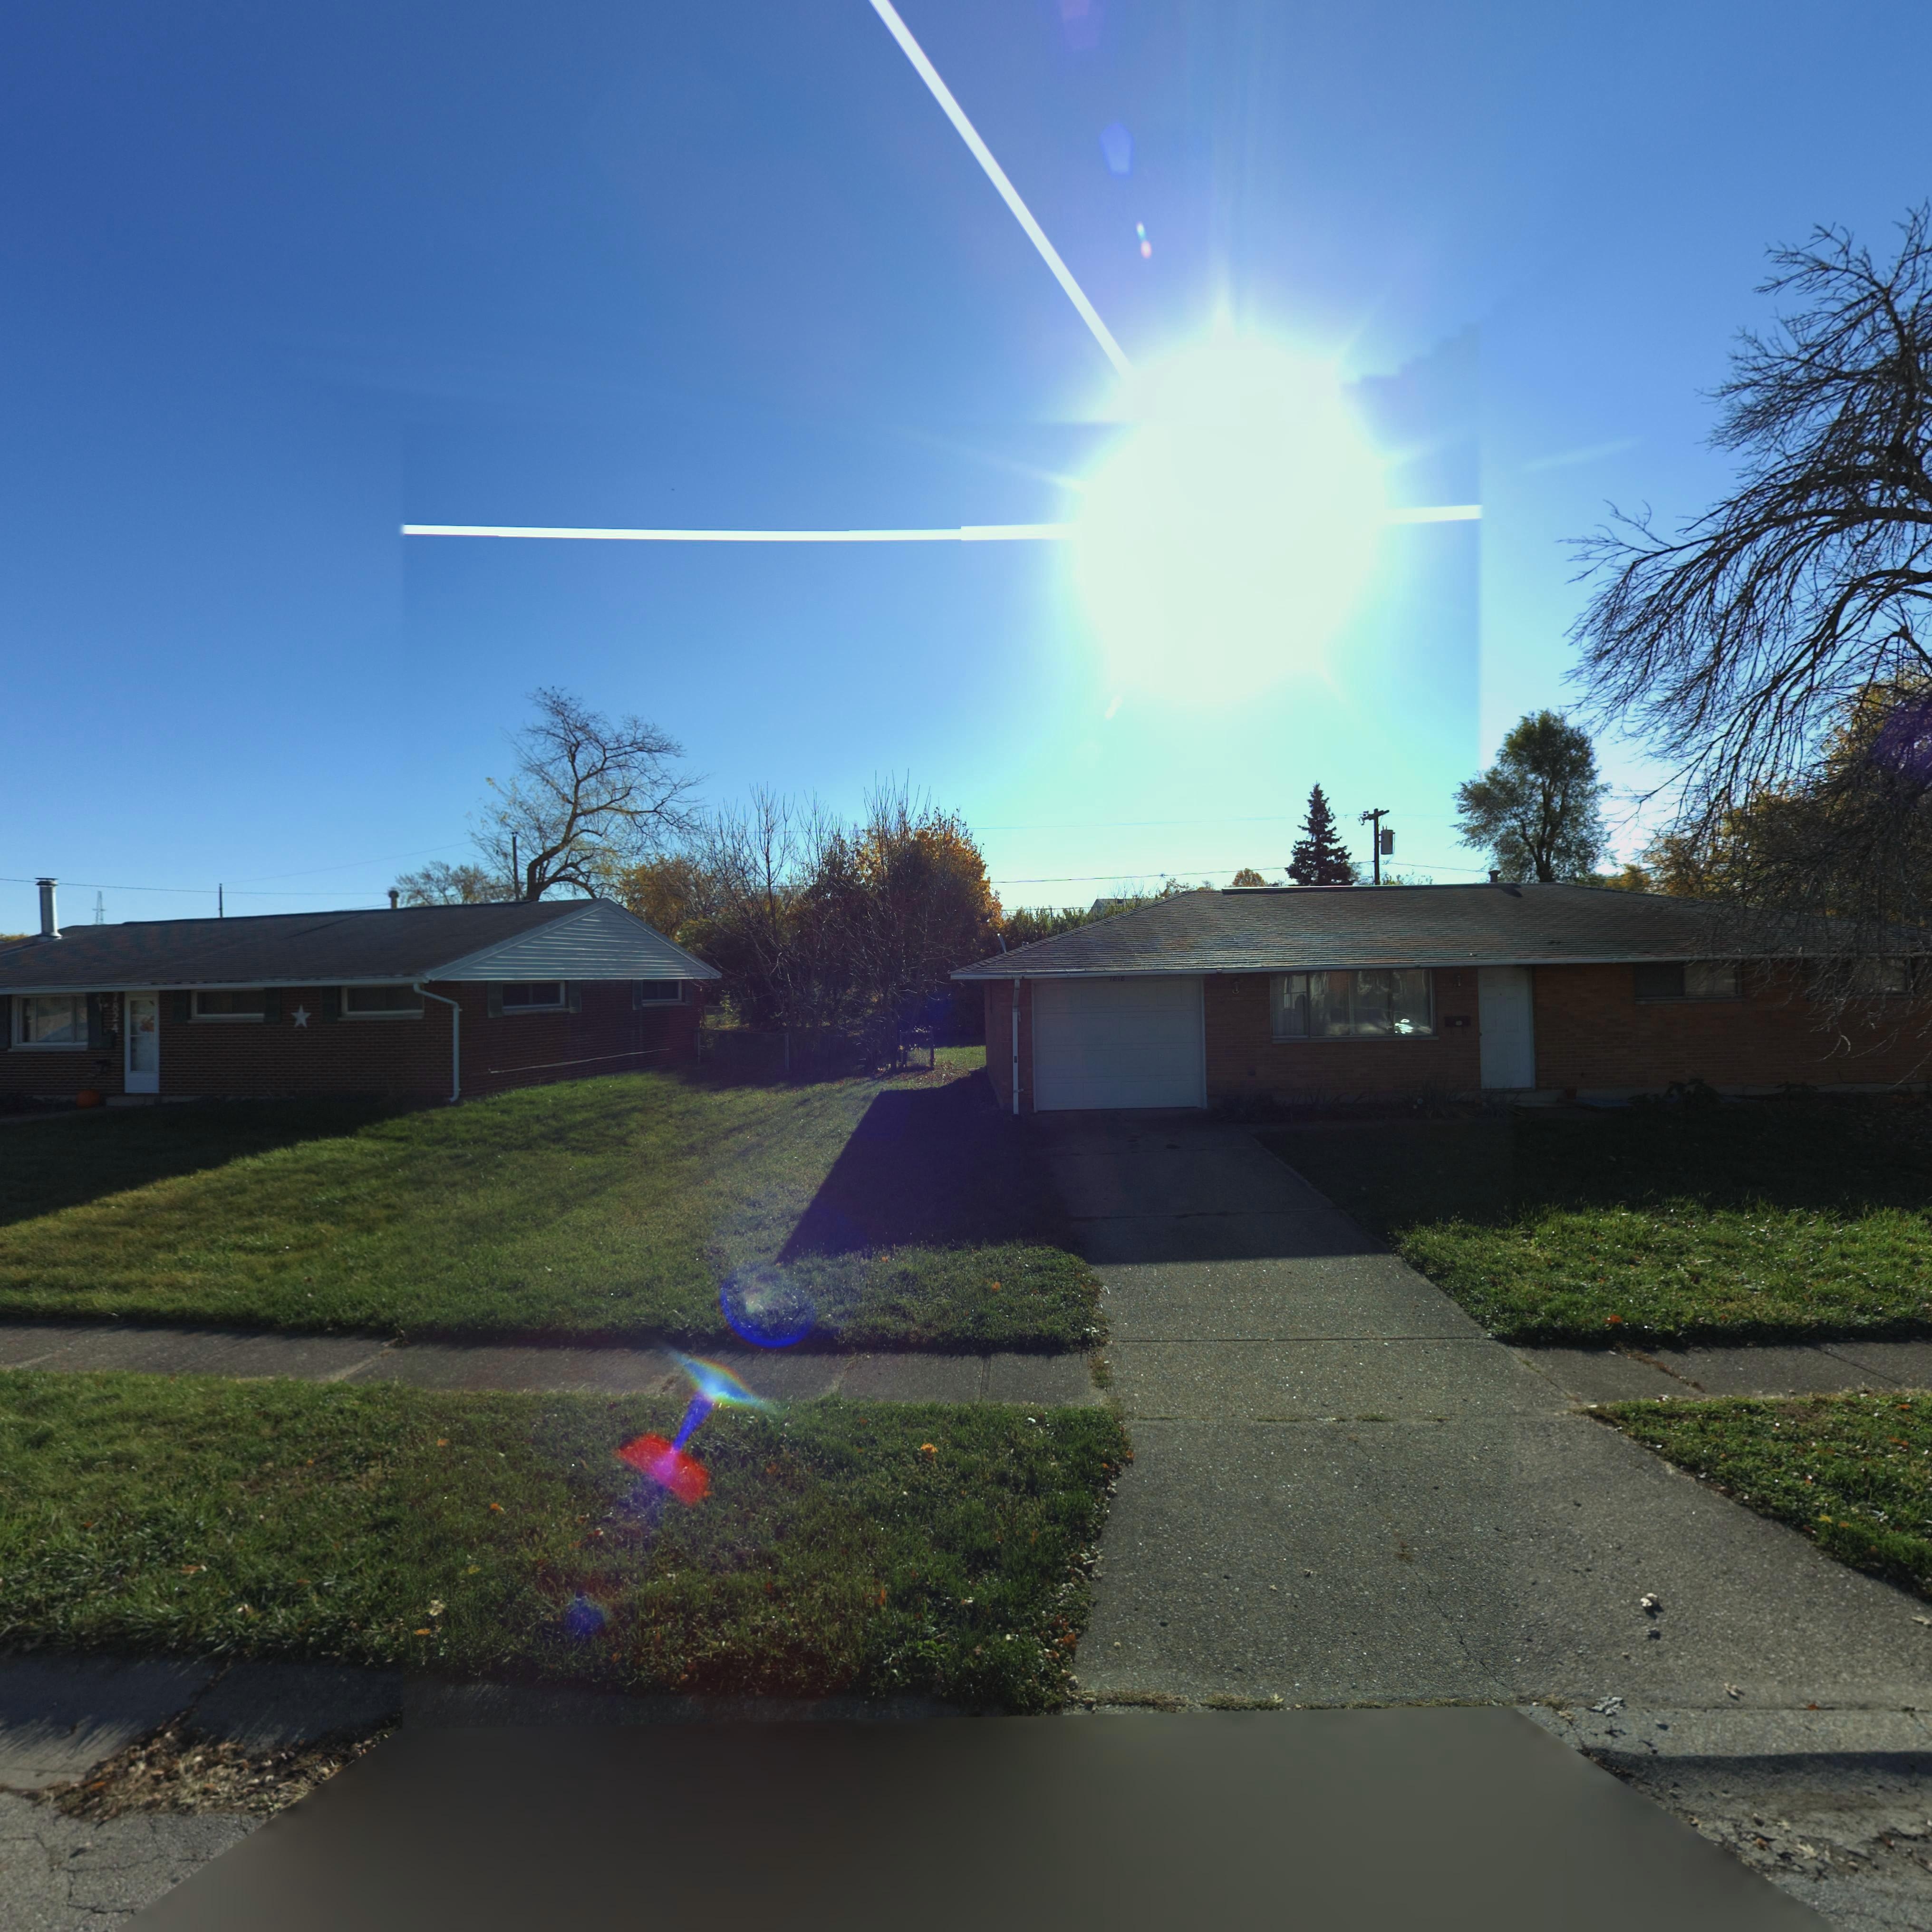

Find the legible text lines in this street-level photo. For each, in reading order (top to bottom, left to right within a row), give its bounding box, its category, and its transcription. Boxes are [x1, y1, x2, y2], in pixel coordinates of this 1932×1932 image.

[1109, 976, 1126, 982] StreetNumber: 7818
[111, 990, 120, 1034] StreetNumber: 7824